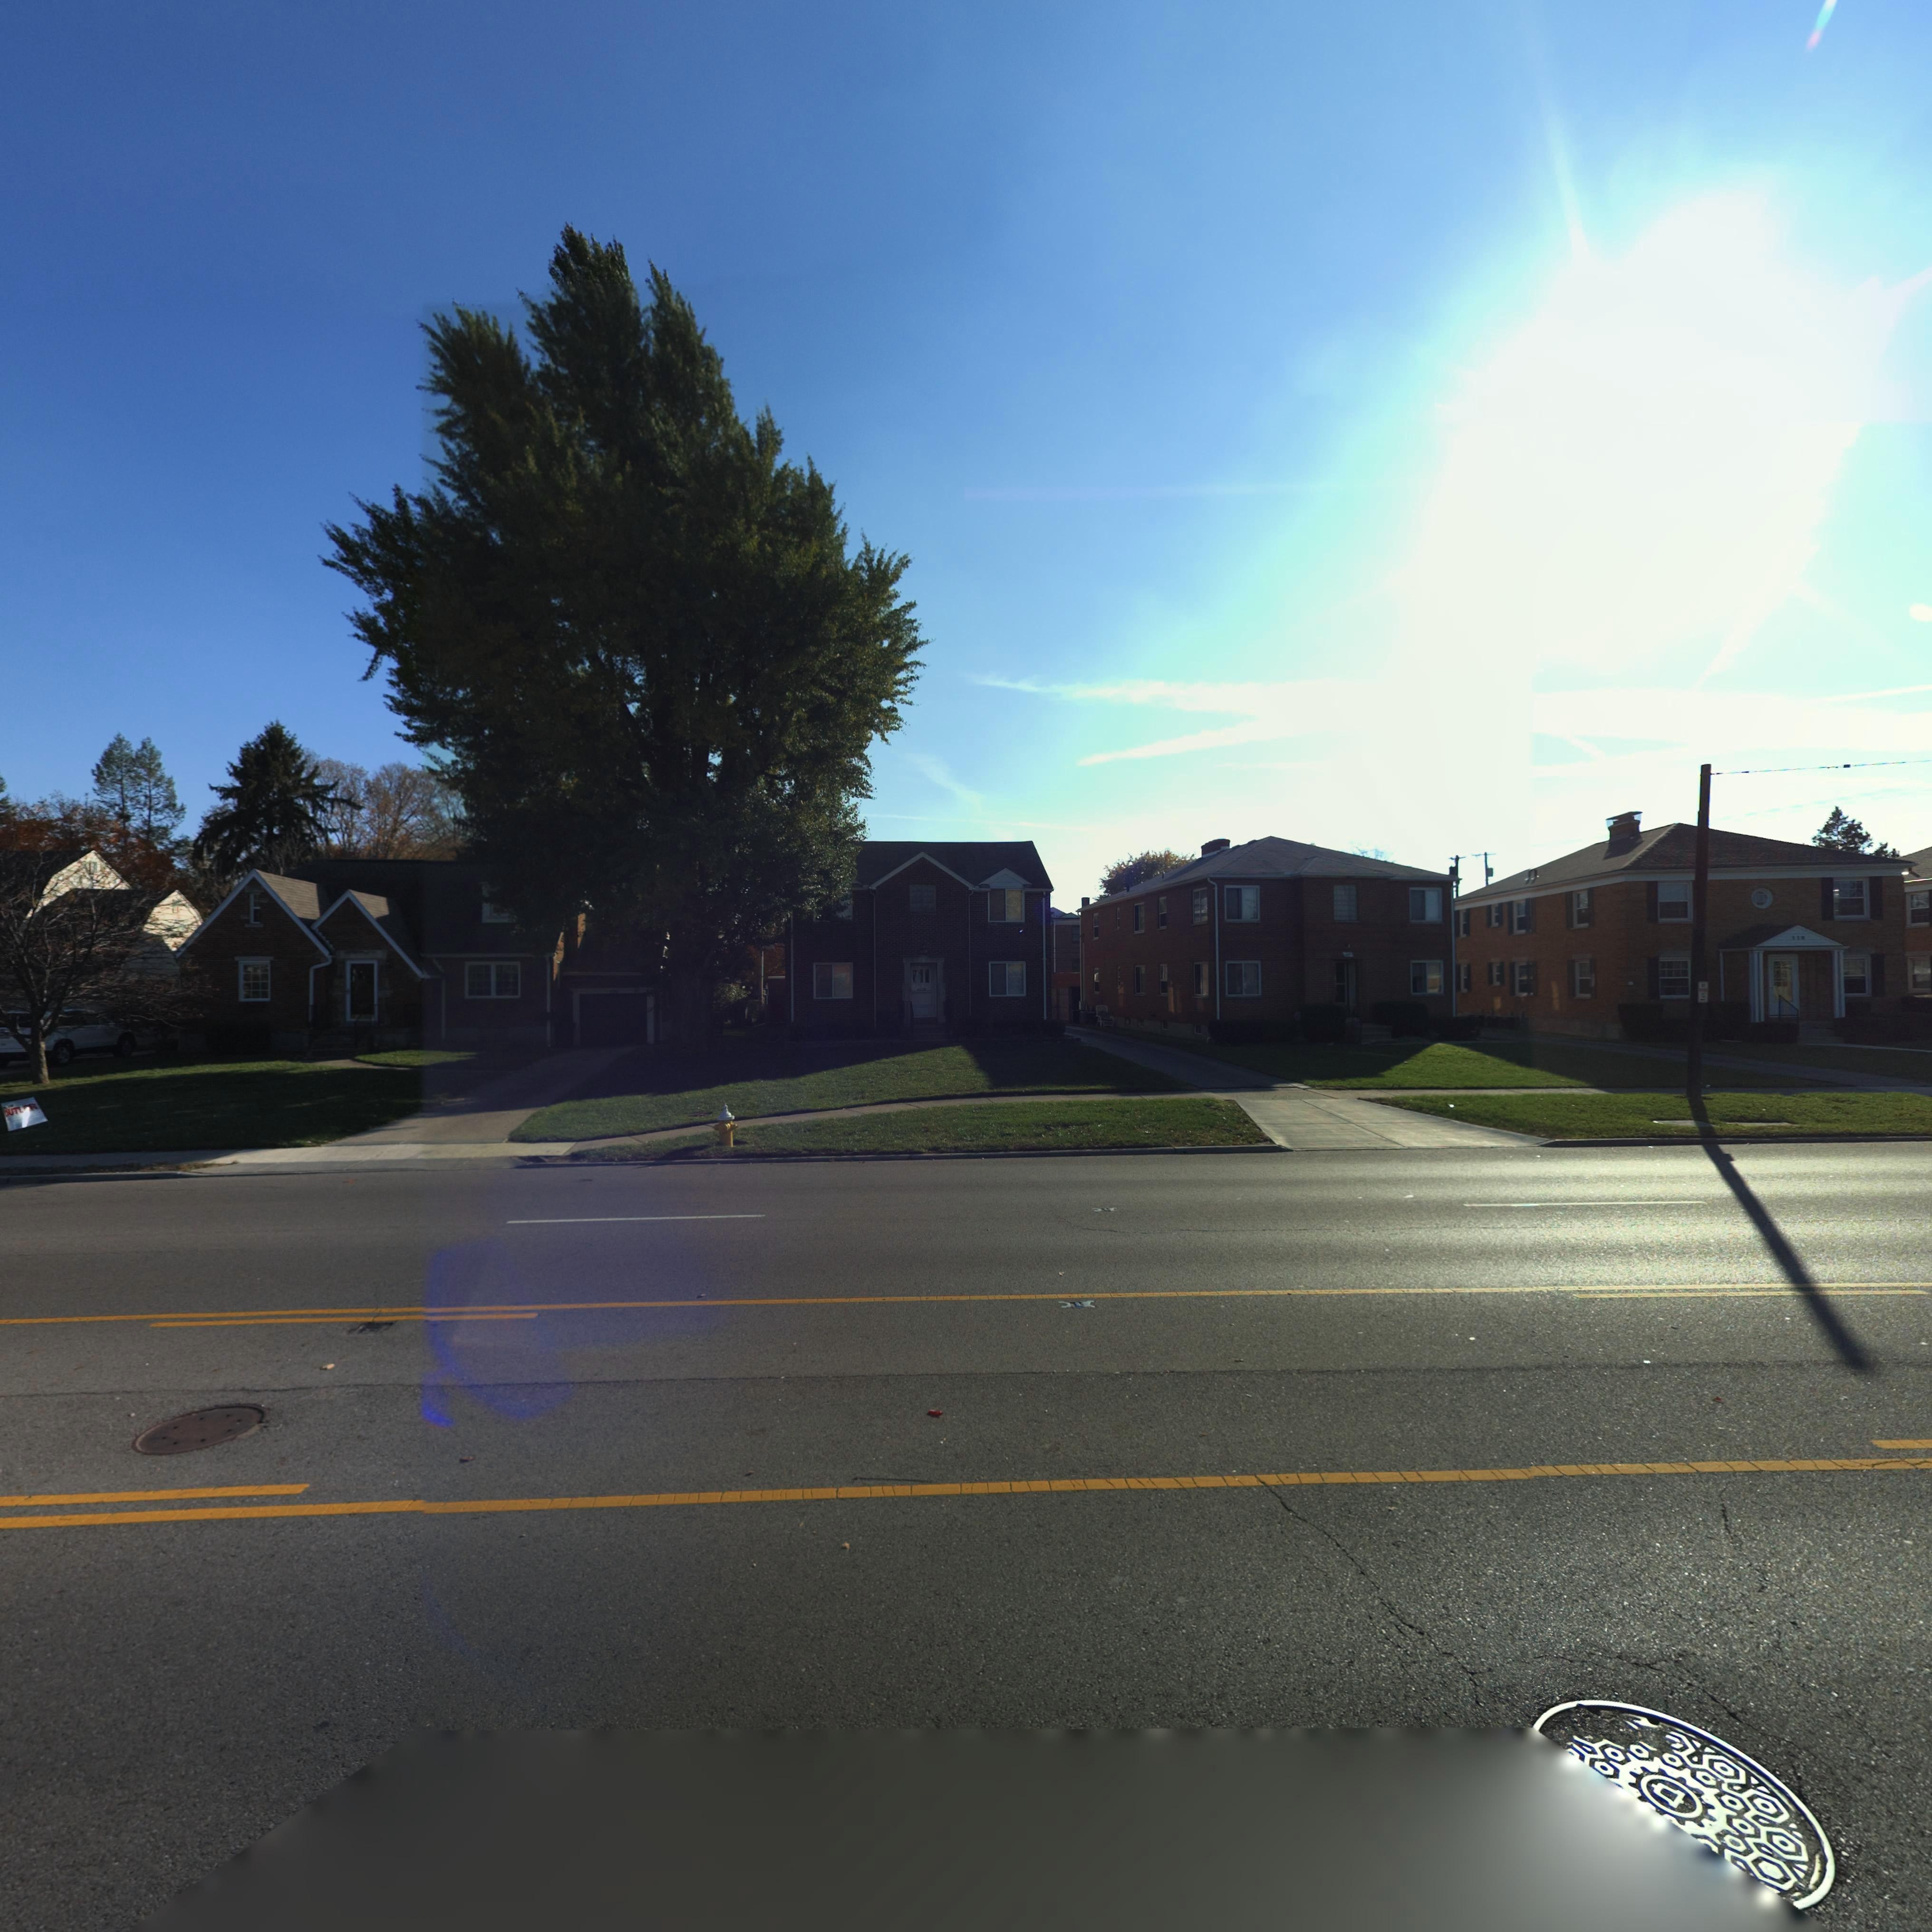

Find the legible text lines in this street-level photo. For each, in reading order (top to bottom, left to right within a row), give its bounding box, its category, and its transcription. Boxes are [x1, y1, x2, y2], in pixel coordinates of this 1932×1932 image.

[1791, 935, 1806, 941] StreetNumber: **0